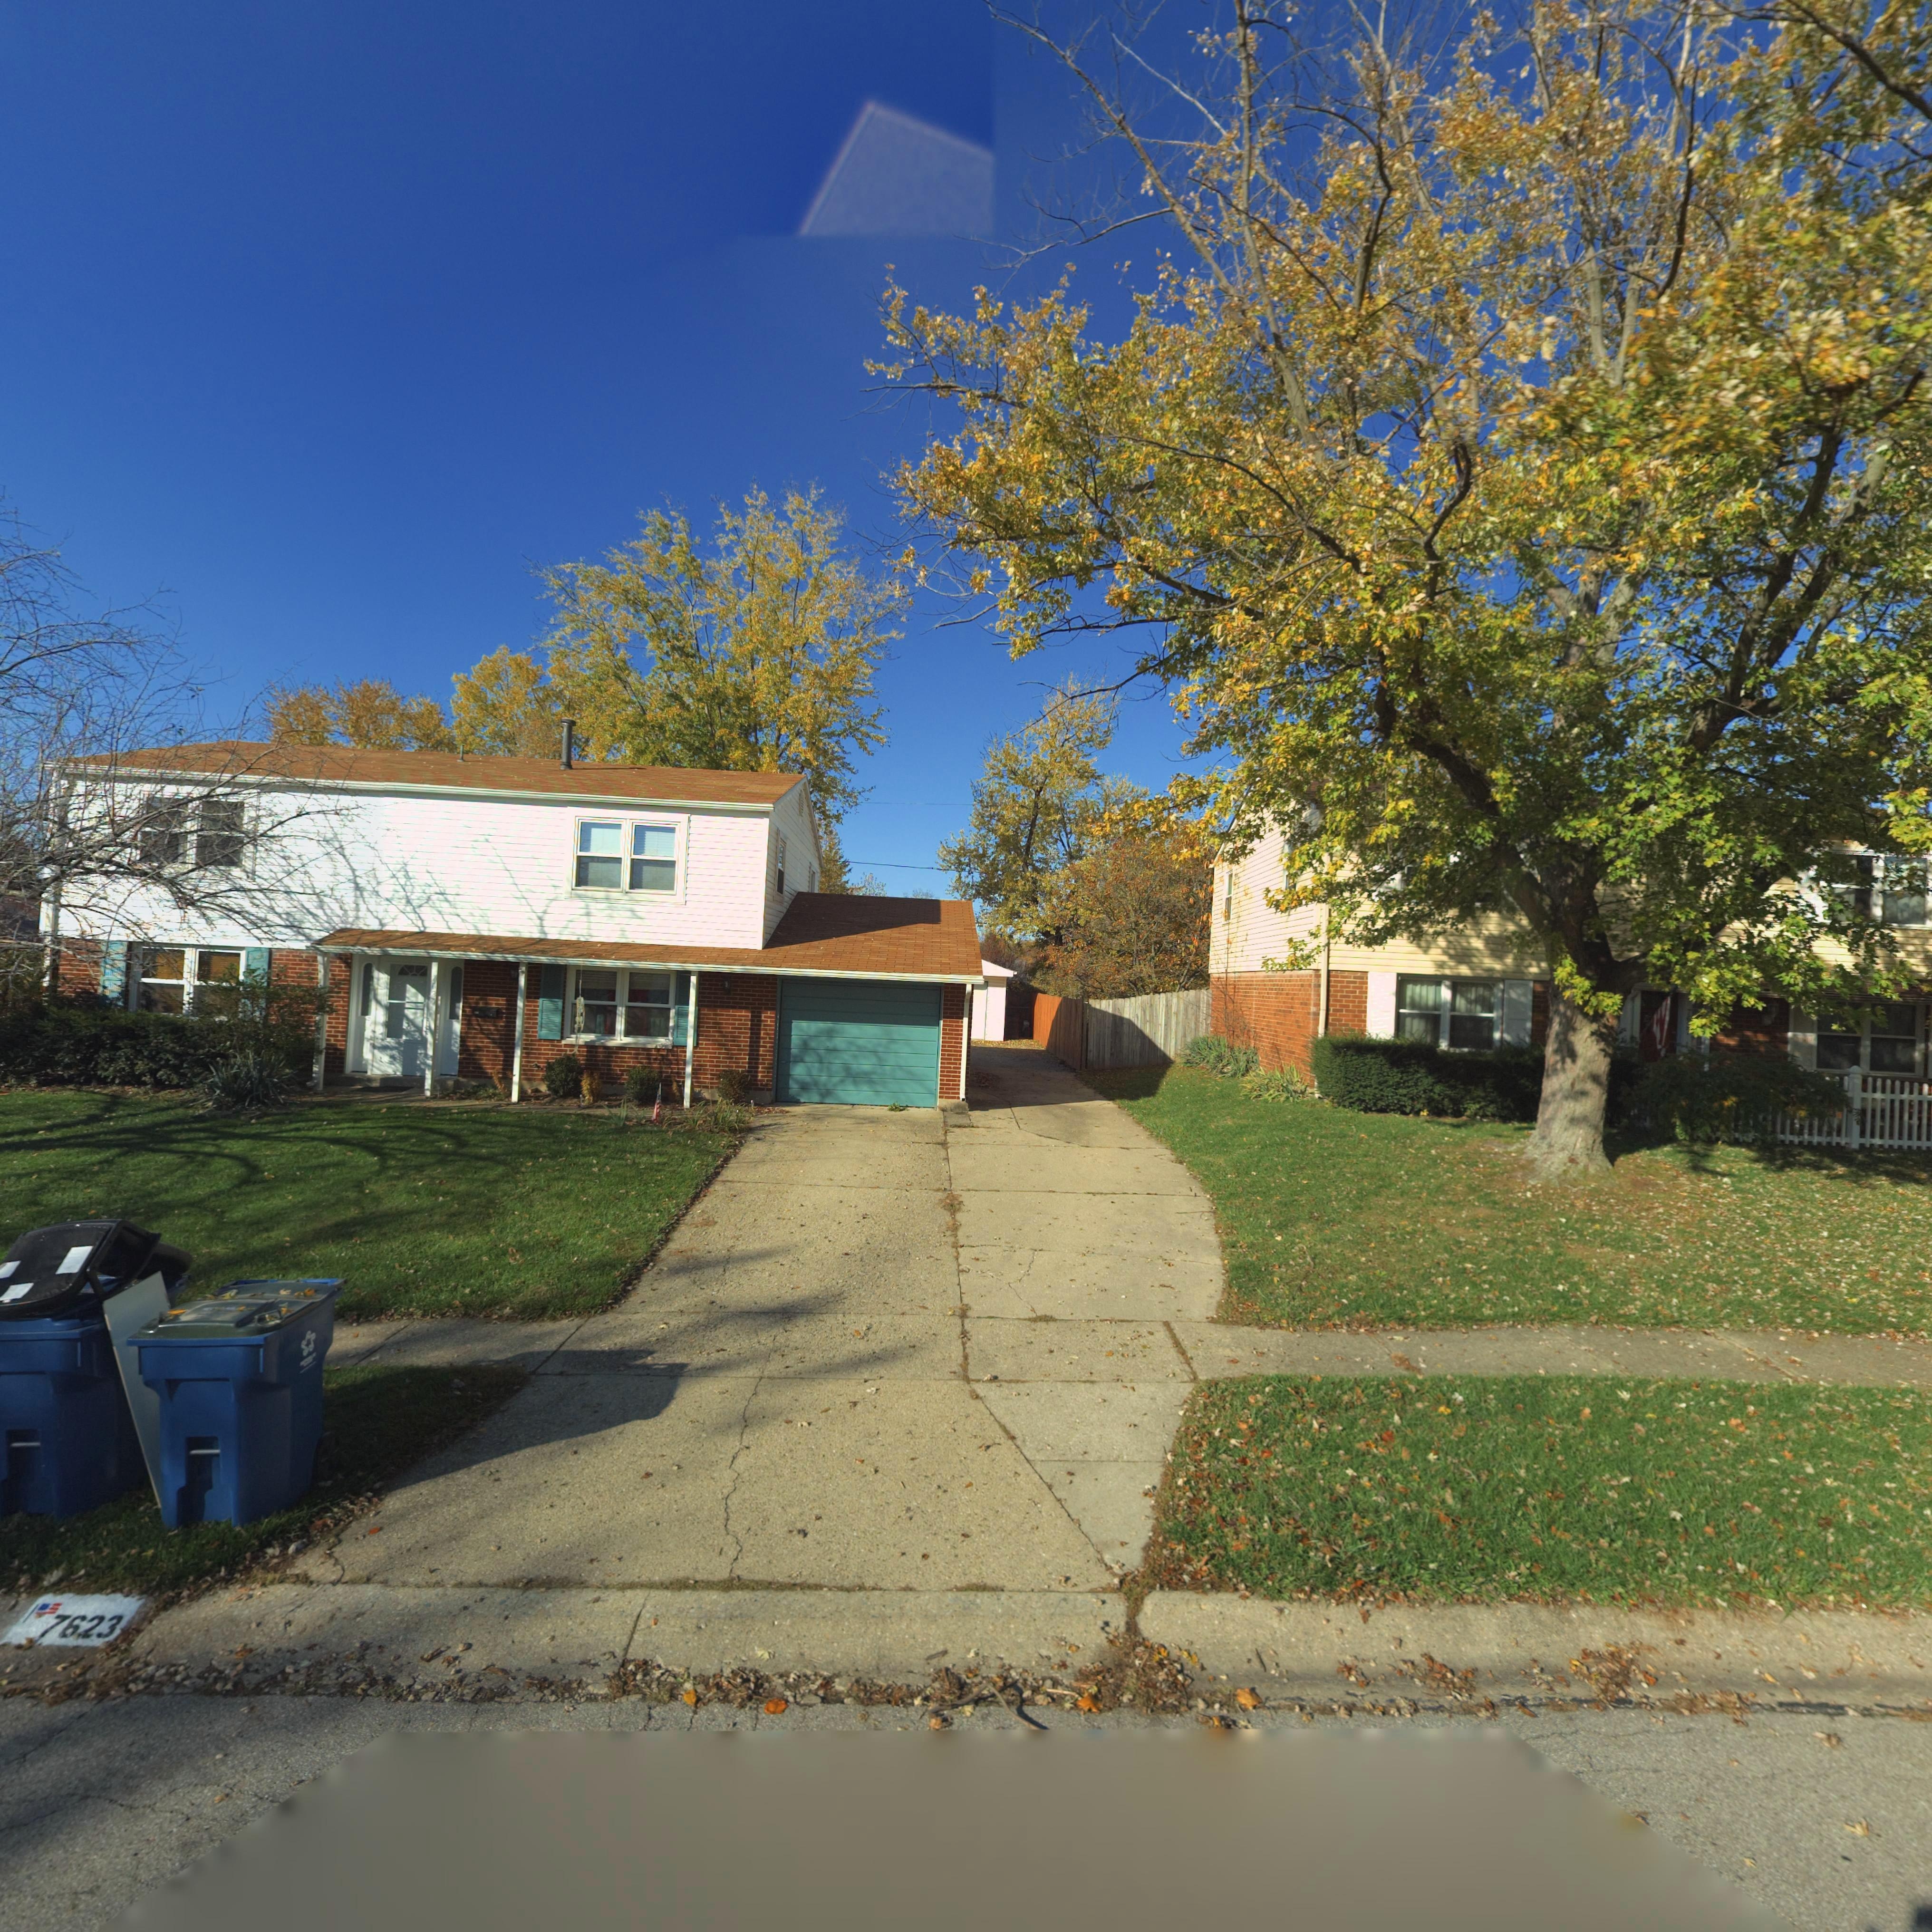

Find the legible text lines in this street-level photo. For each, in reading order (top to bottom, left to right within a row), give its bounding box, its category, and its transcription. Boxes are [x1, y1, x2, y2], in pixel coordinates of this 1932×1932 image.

[34, 1612, 126, 1641] StreetNumber: 7623